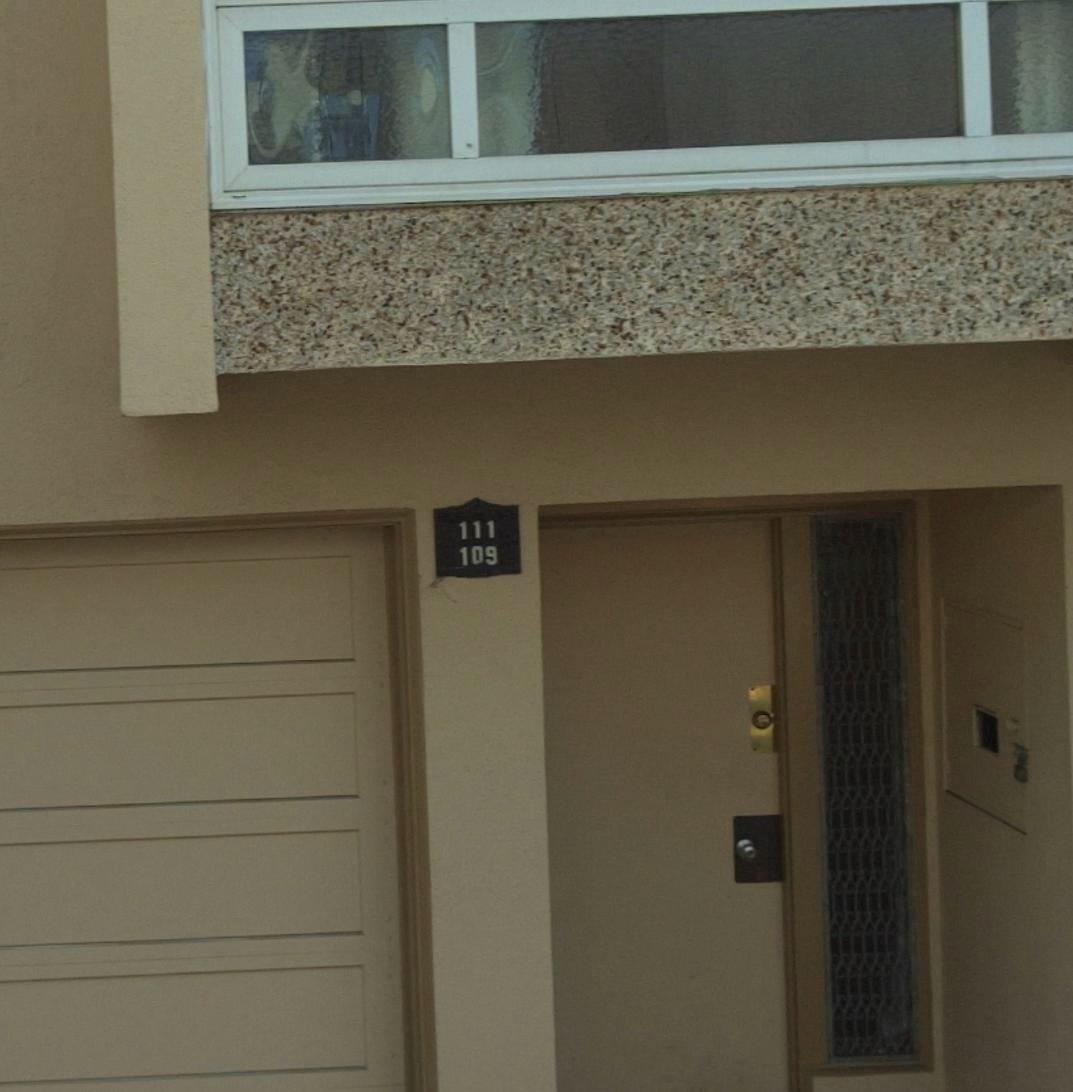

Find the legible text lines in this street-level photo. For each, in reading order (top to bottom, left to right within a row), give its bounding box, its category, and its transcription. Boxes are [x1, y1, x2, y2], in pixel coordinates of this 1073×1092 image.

[456, 517, 498, 542] StreetNumber: 111
[456, 542, 499, 568] StreetNumber: 109